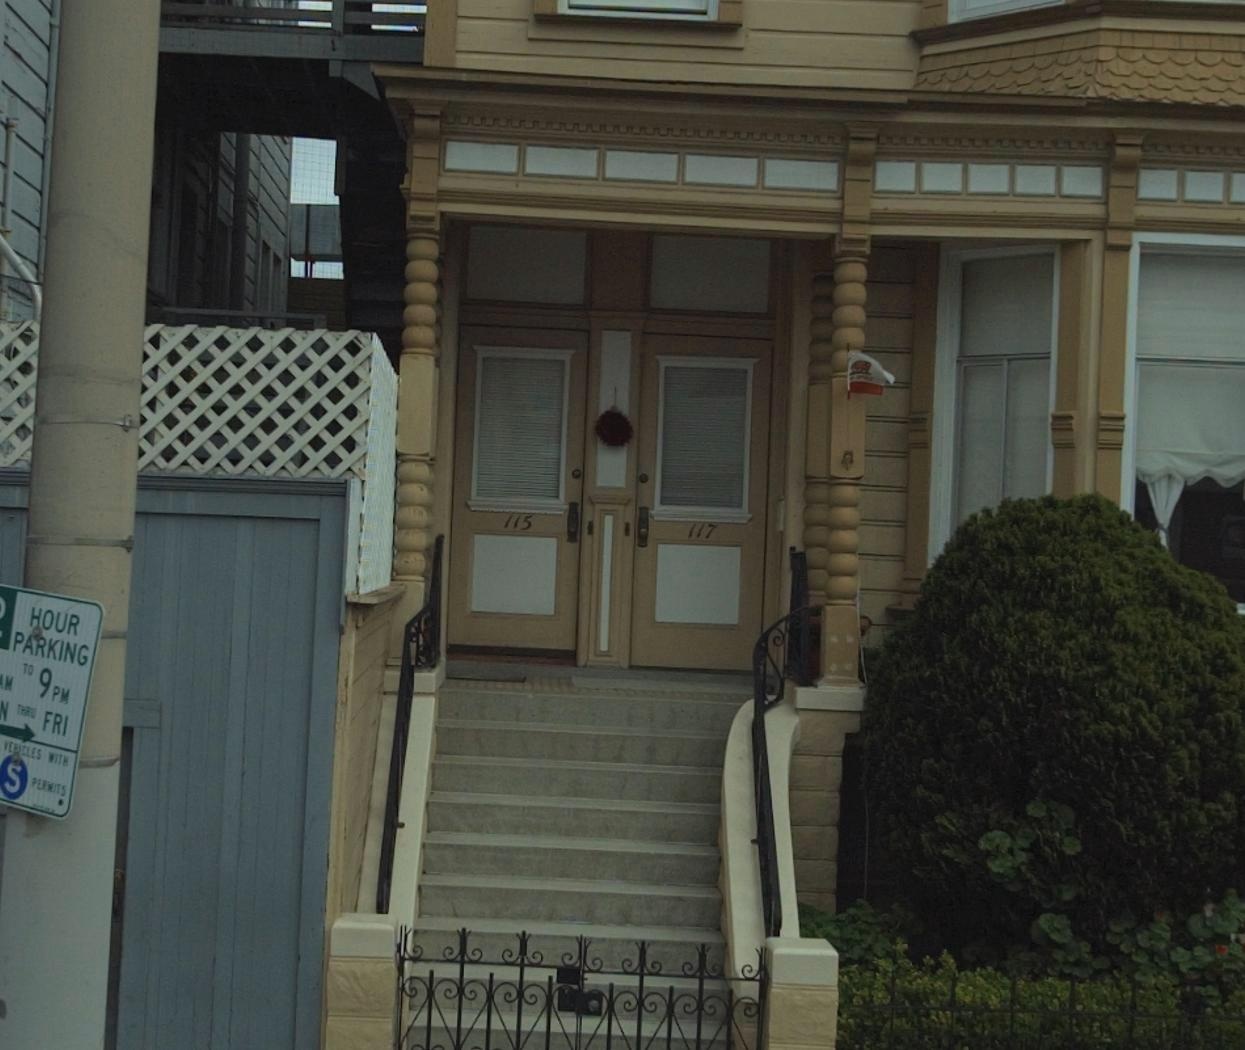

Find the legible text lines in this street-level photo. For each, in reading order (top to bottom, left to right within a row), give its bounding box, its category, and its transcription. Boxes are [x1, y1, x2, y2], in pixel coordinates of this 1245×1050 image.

[501, 513, 533, 531] StreetNumber: 115
[686, 521, 720, 539] StreetNumber: 117
[29, 605, 82, 637] None: HOUR
[12, 629, 92, 669] None: PARKING
[21, 661, 36, 677] None: TO
[3, 674, 15, 692] None: M
[37, 665, 54, 702] None: 9
[50, 684, 71, 706] None: PM
[14, 702, 38, 721] None: THRU
[41, 709, 71, 737] None: FRI
[1, 739, 42, 761] None: VEHICLES
[48, 750, 70, 769] None: WITH
[2, 761, 23, 795] None: S
[30, 776, 67, 798] None: PERMITS